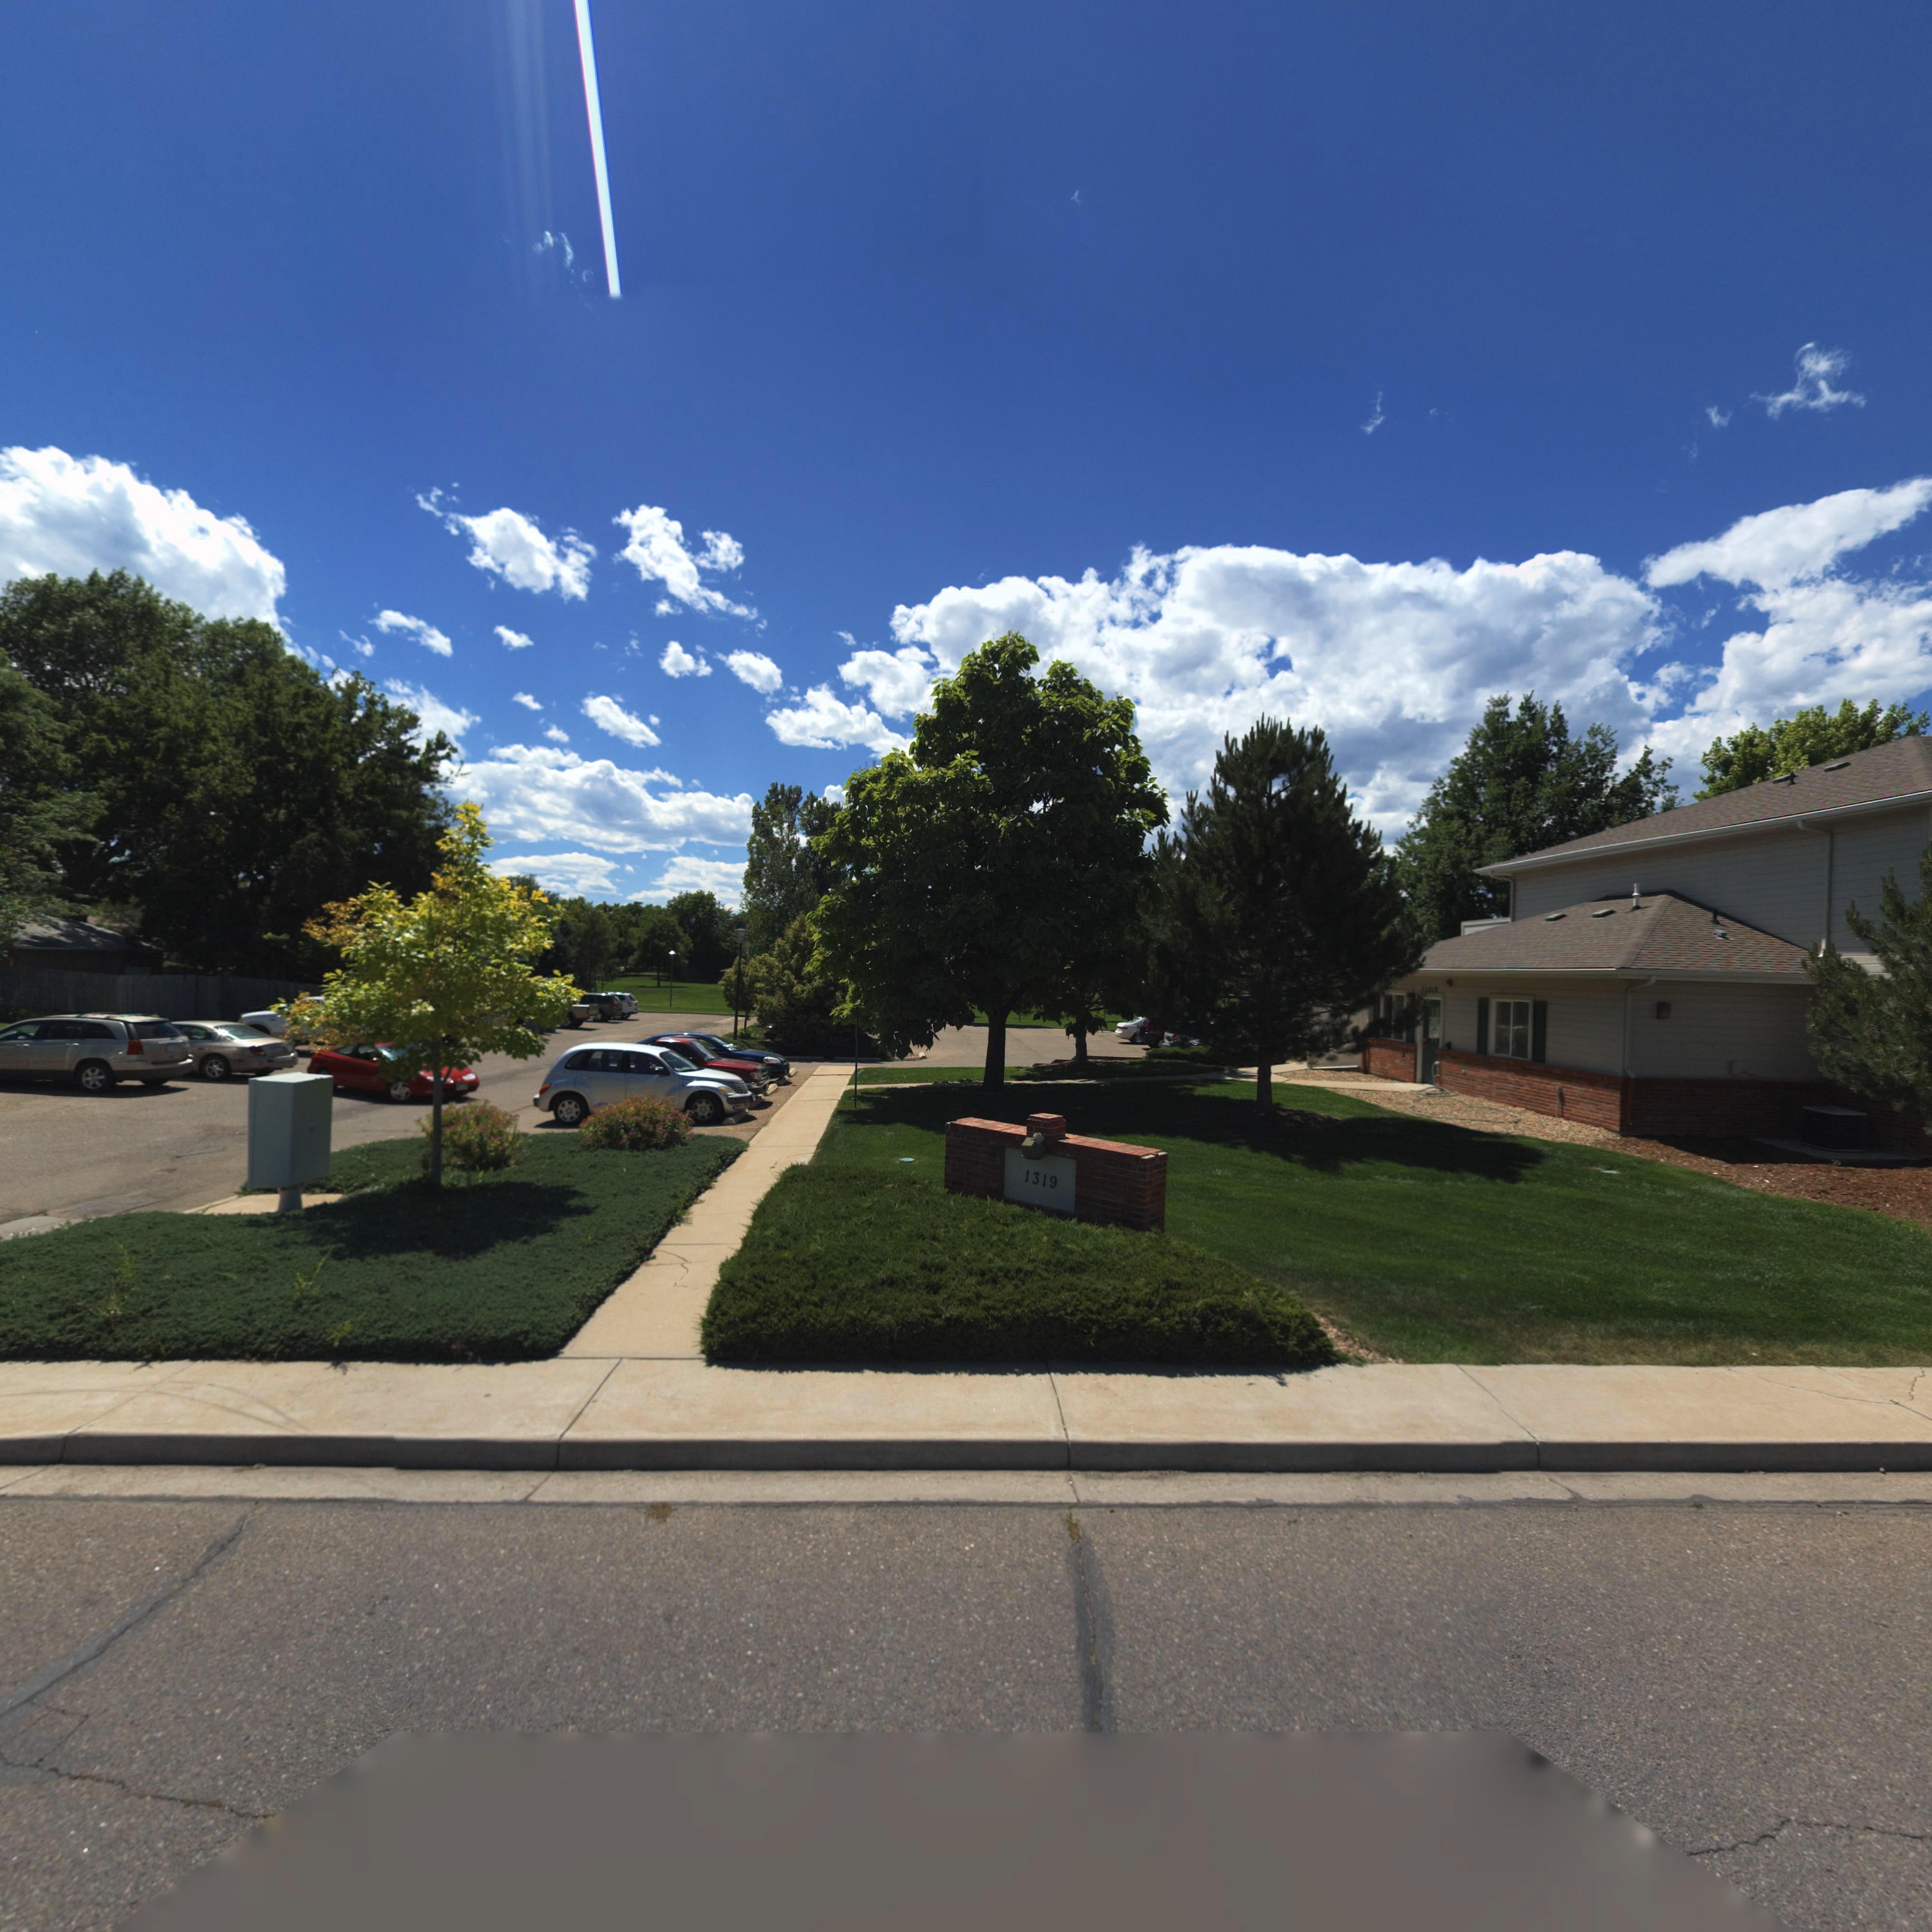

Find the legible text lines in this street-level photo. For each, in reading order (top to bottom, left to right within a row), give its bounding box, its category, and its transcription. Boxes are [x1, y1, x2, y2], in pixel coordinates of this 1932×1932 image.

[1024, 1168, 1059, 1190] StreetNumber: 1319